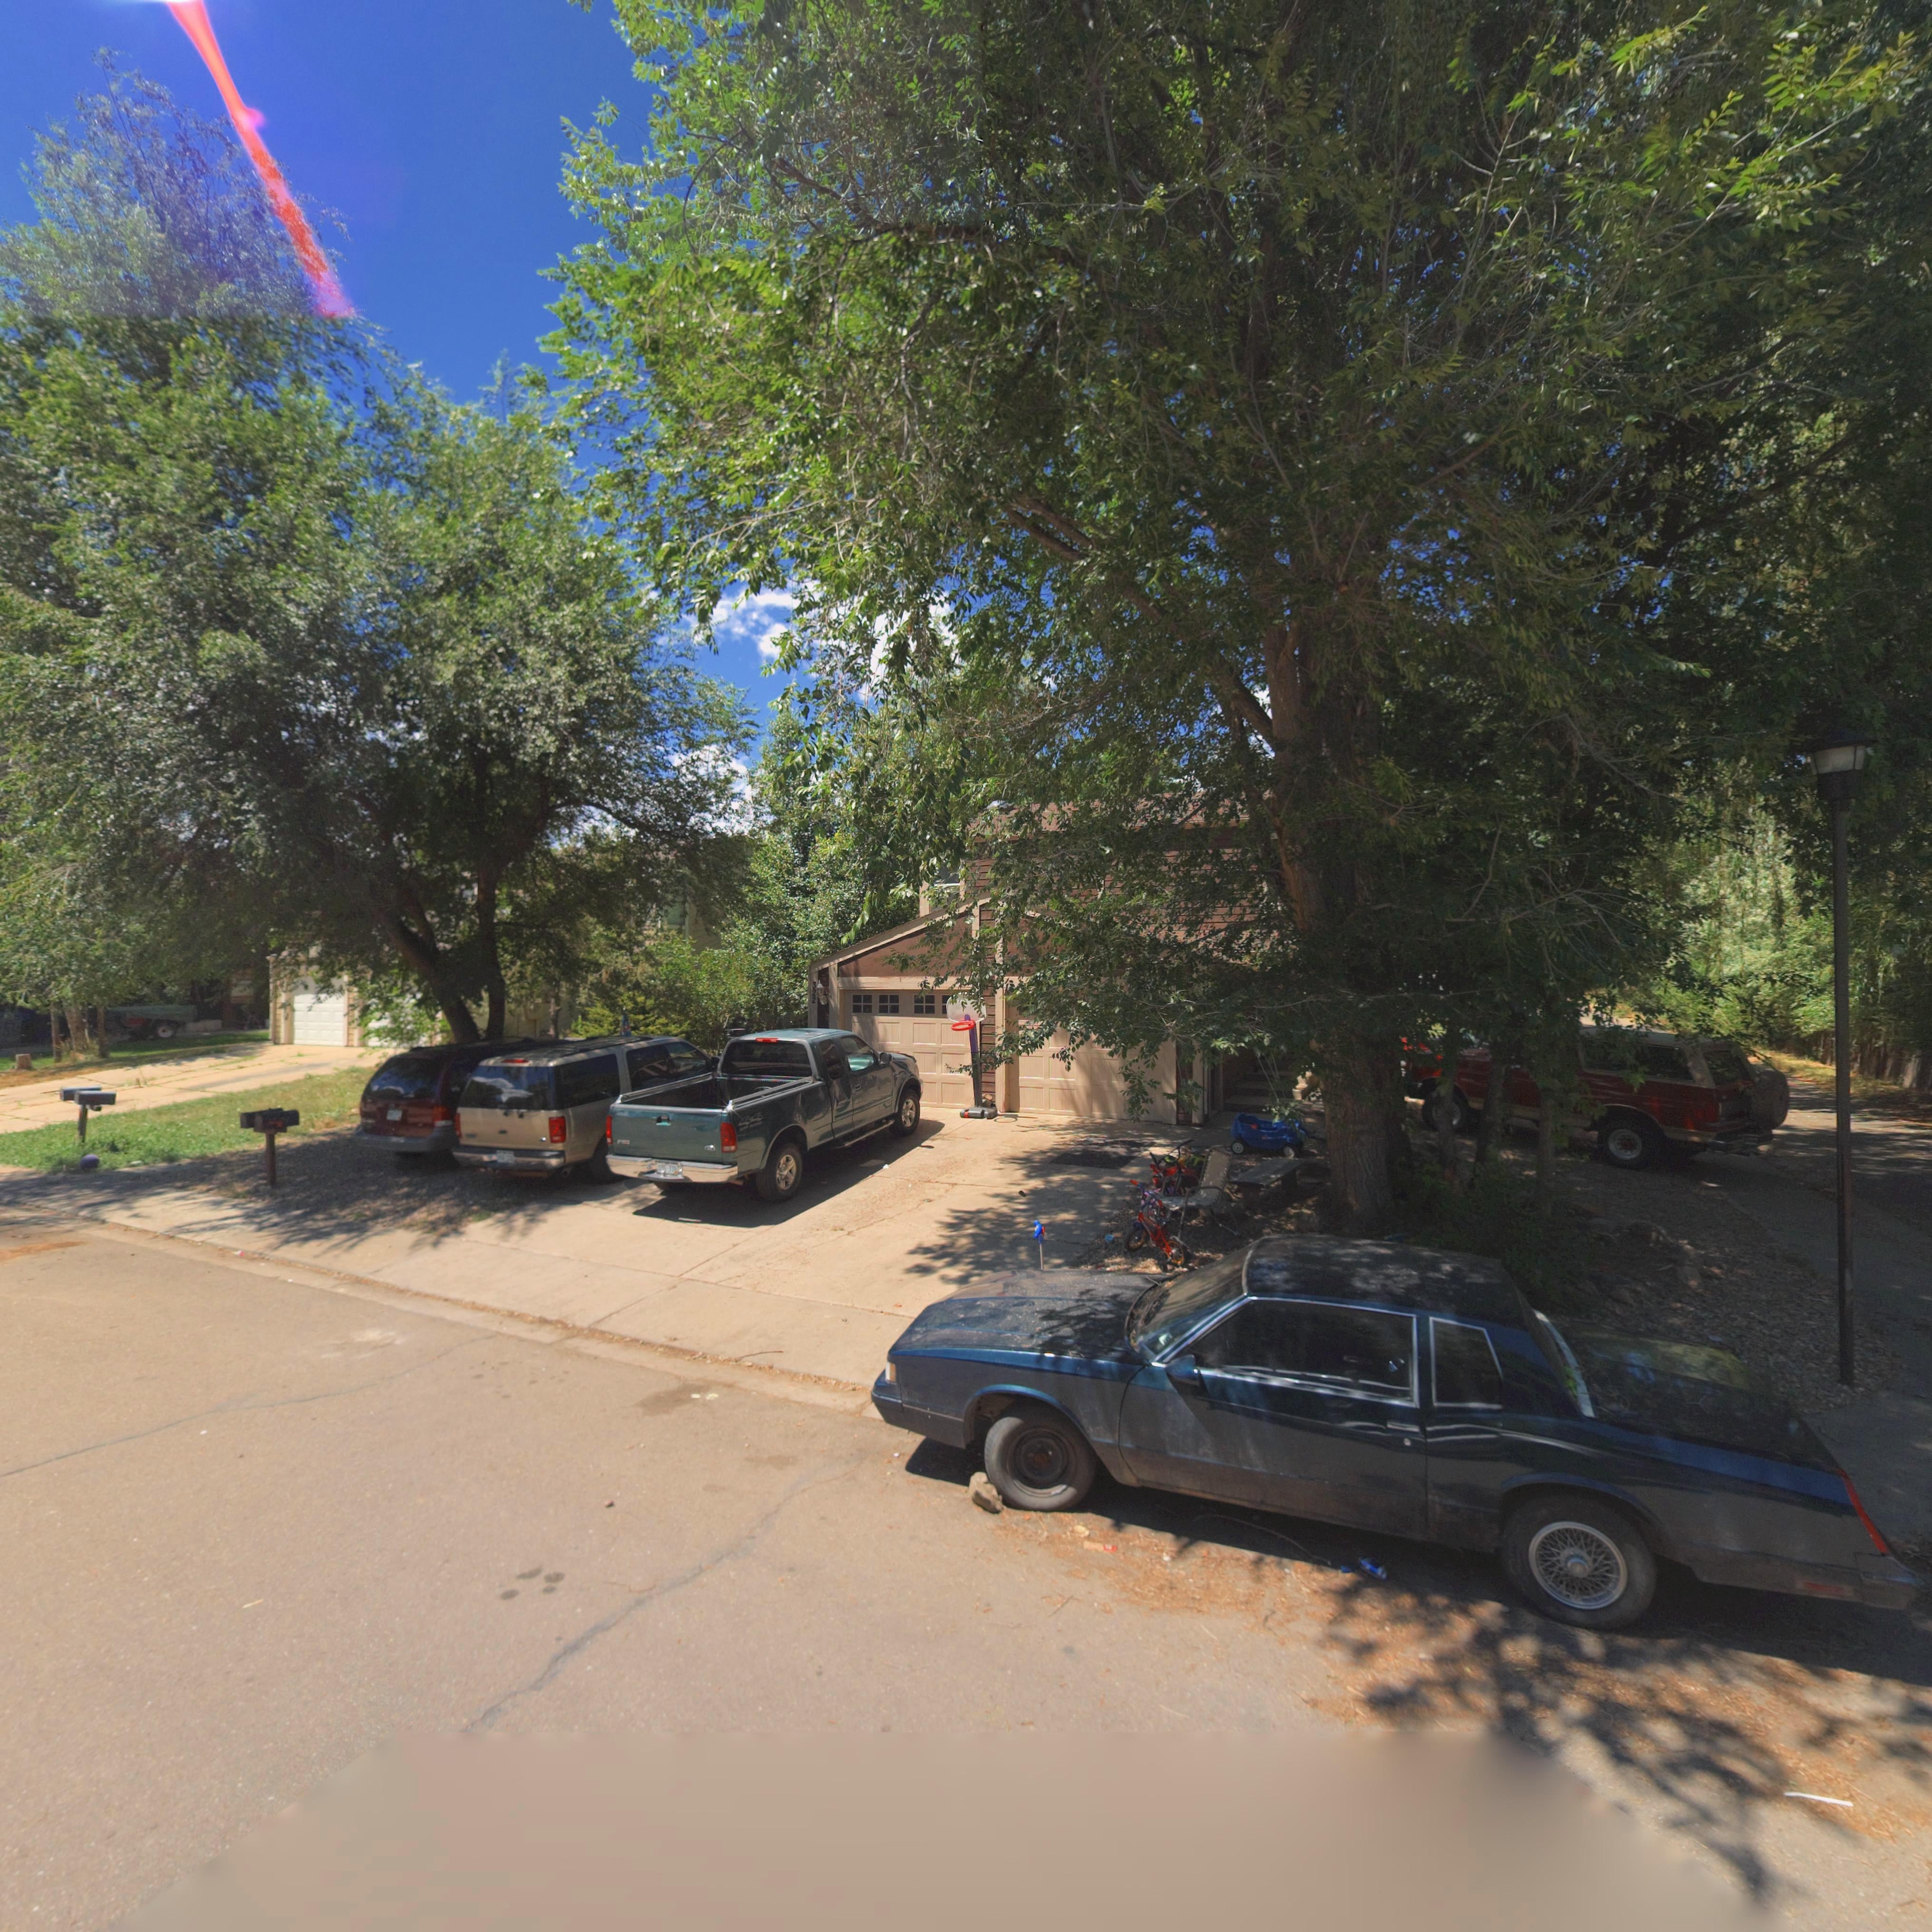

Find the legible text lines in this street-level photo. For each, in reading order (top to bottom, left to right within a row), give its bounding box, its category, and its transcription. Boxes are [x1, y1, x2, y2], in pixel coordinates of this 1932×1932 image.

[811, 981, 817, 1004] StreetNumber: 322